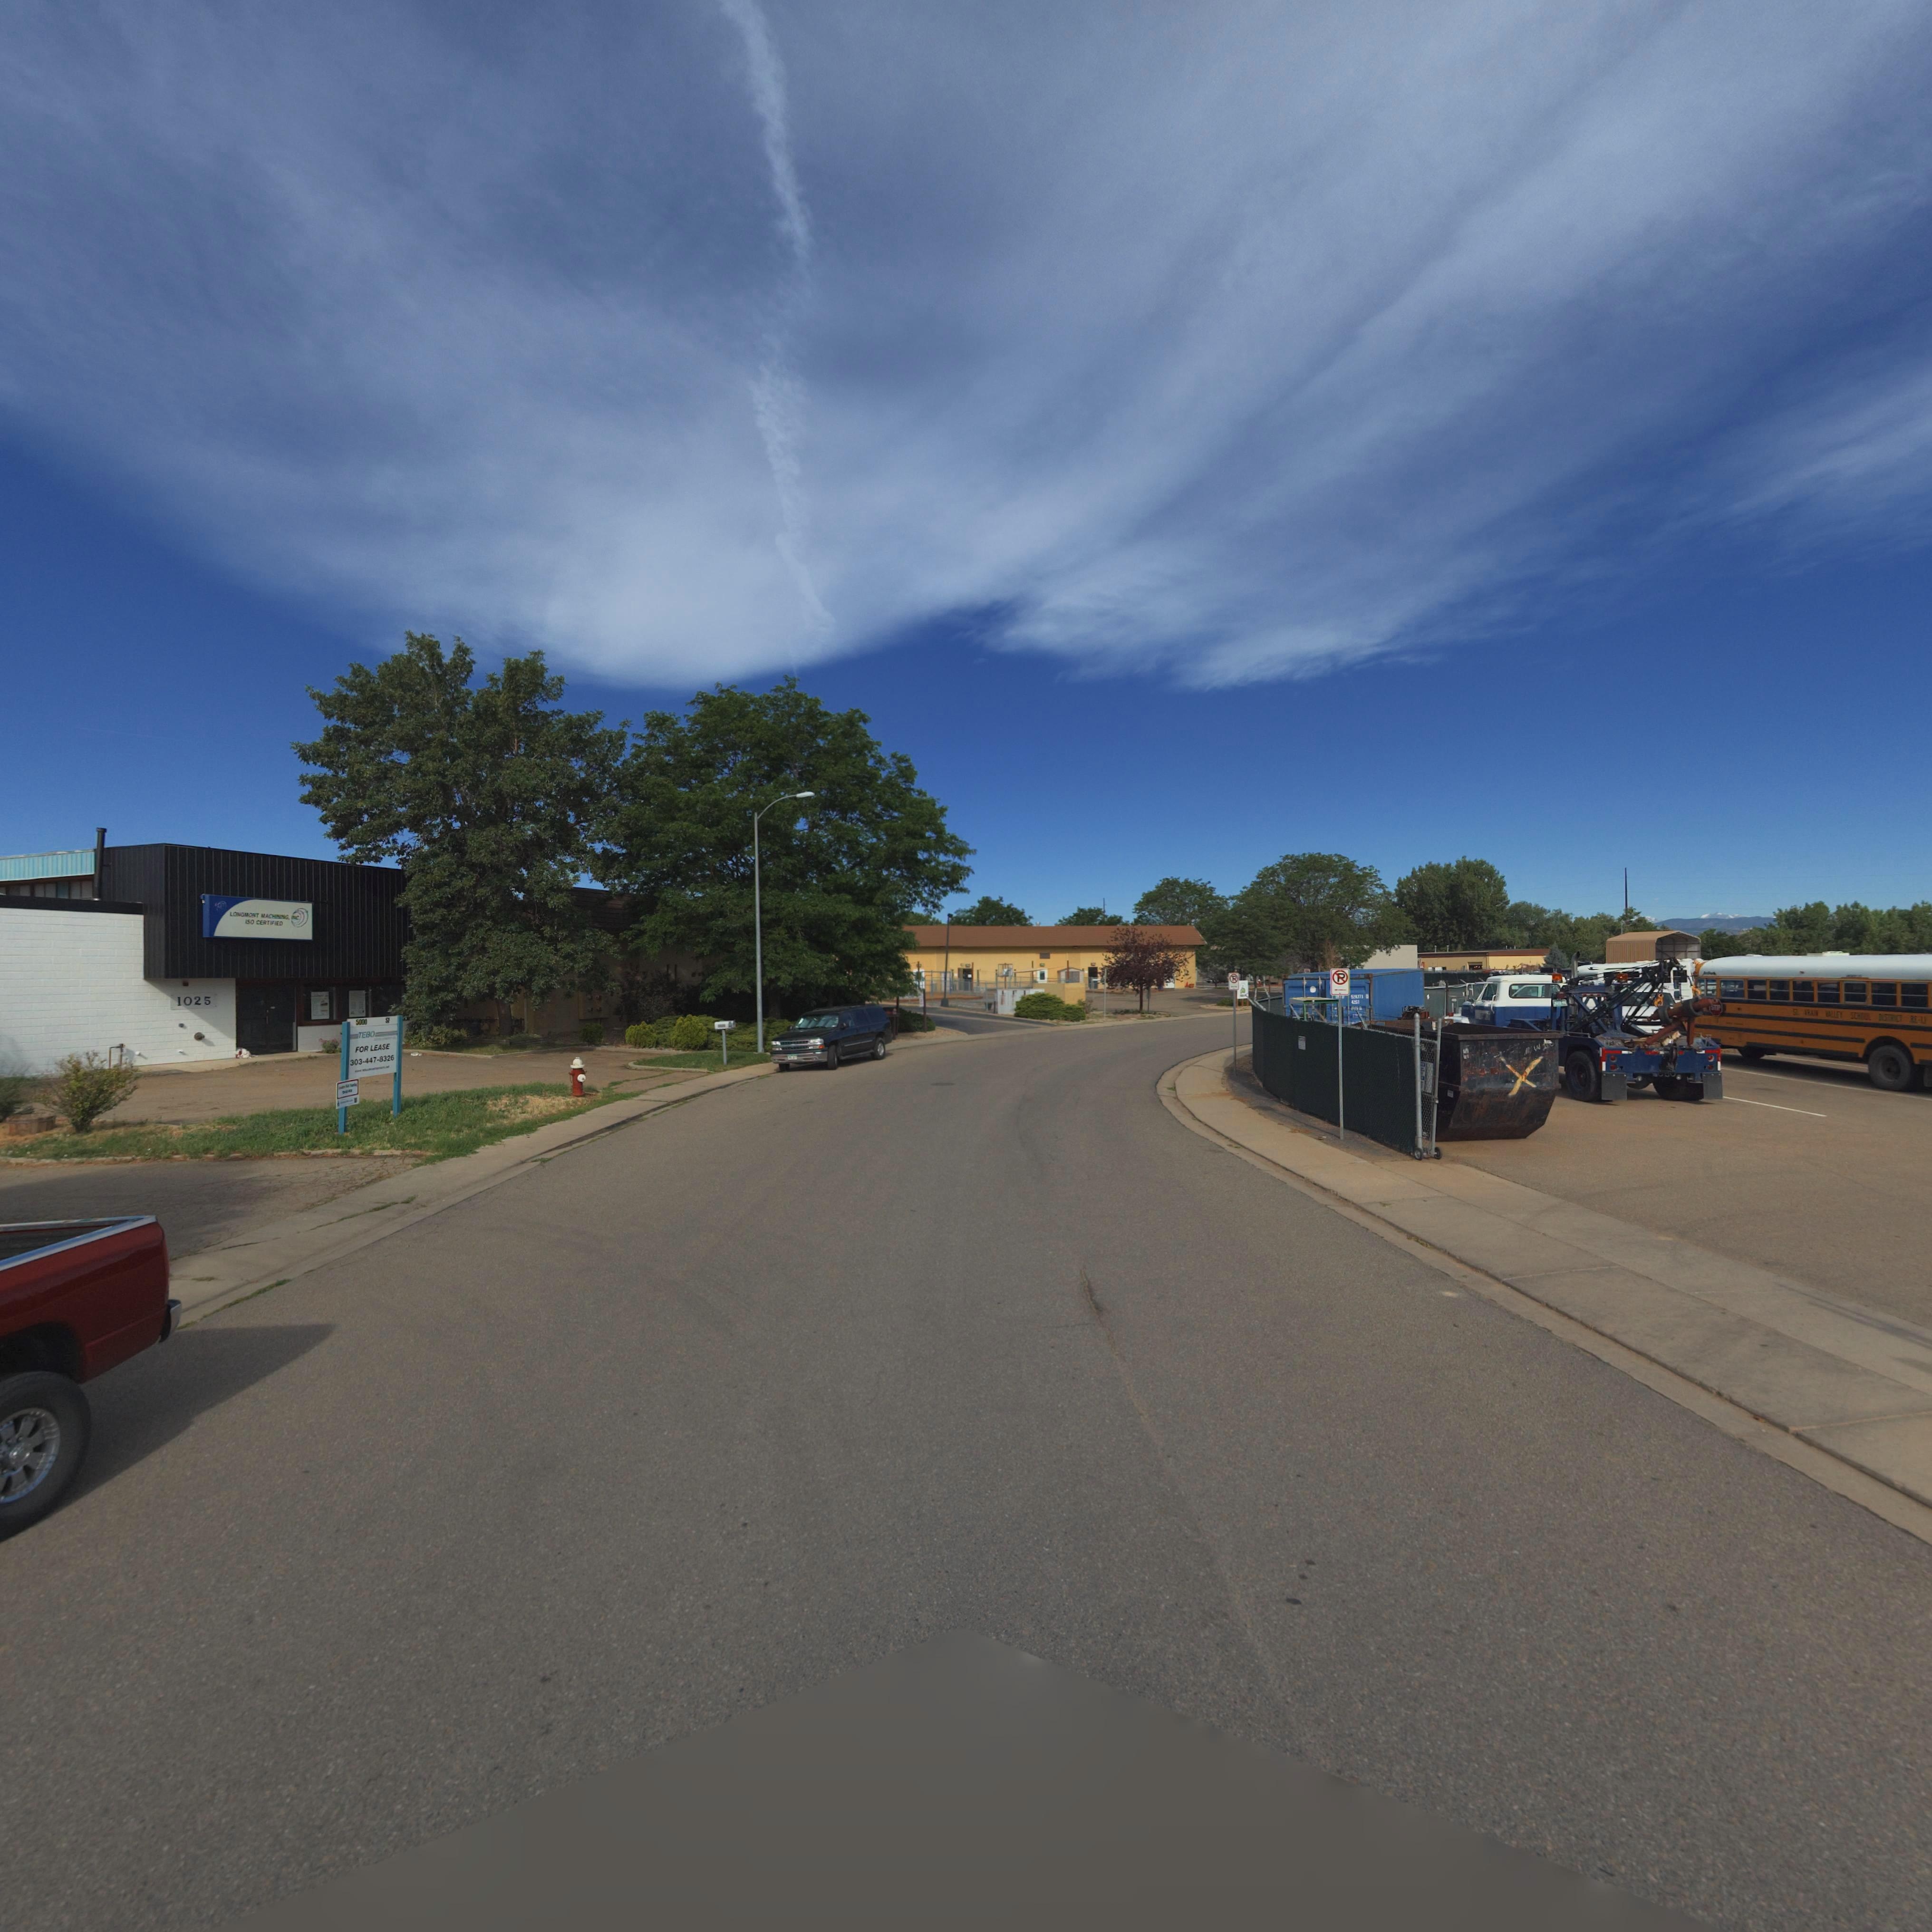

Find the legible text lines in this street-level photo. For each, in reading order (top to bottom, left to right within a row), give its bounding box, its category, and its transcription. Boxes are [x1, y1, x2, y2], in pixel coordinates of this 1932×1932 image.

[229, 911, 290, 920] BusinessName: LONGMONT NACH*******
[245, 918, 283, 926] BusinessName: ISO CERTIFIED
[177, 996, 211, 1006] StreetNumber: 1025